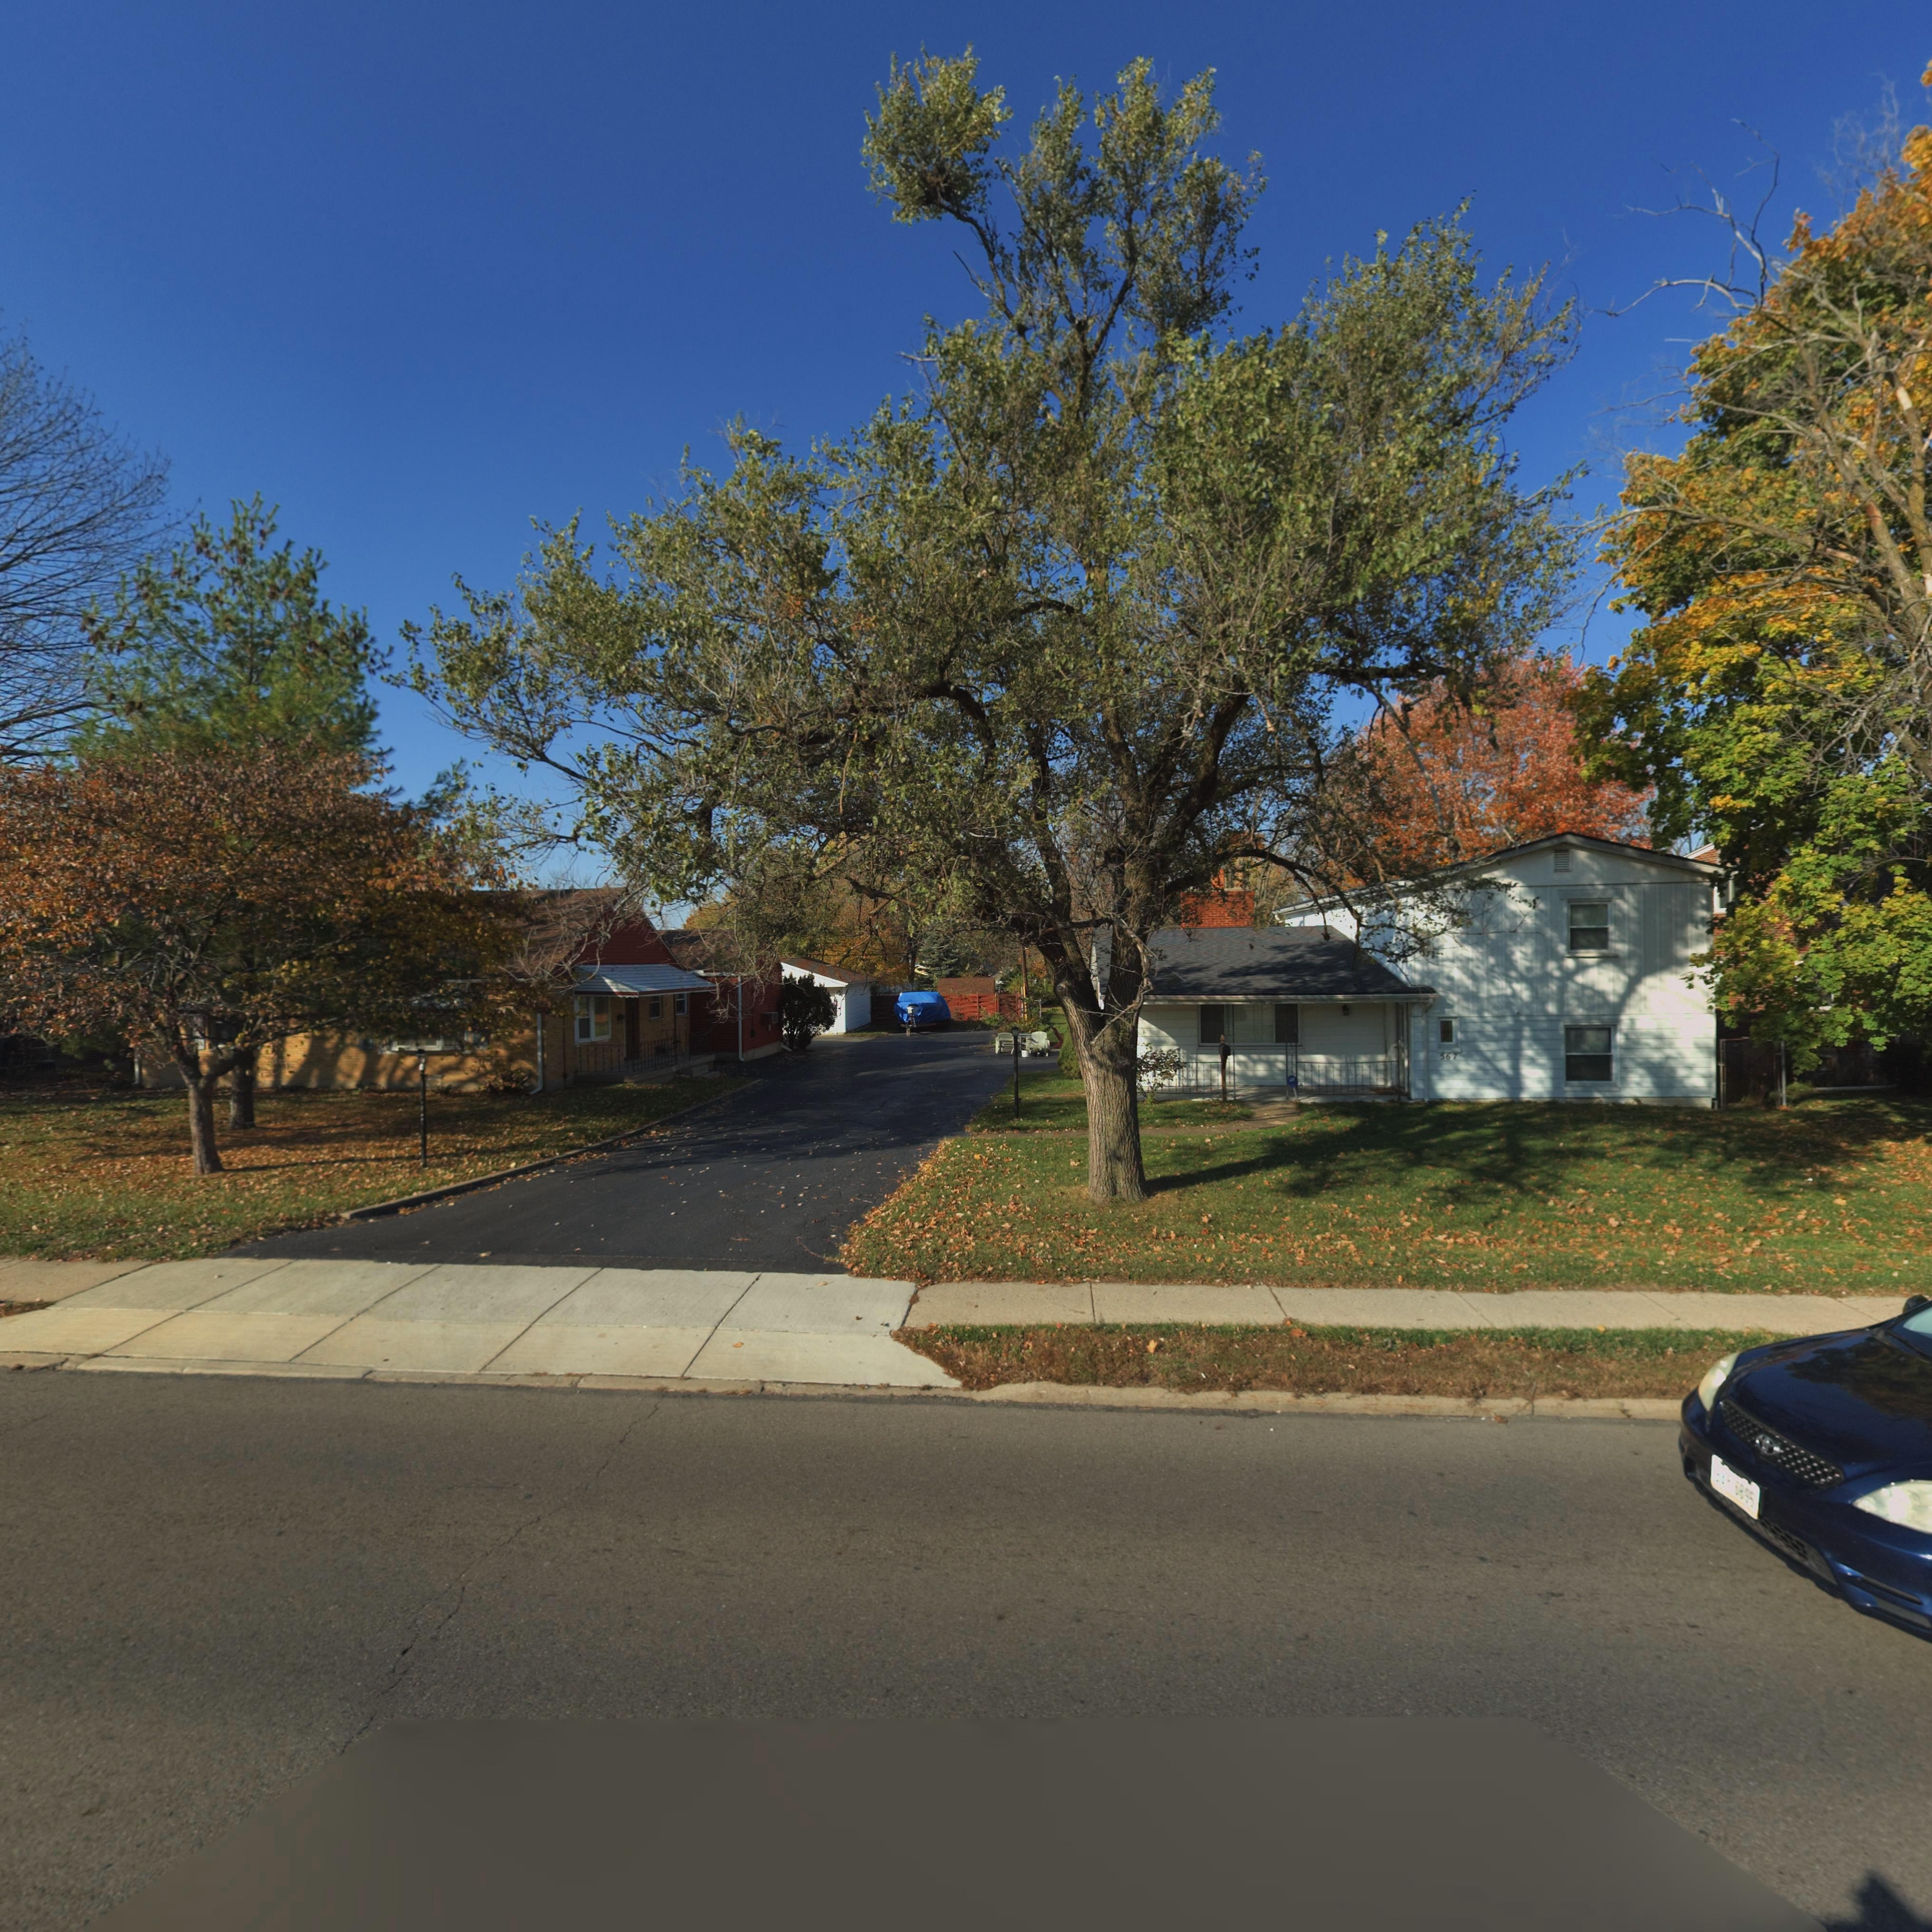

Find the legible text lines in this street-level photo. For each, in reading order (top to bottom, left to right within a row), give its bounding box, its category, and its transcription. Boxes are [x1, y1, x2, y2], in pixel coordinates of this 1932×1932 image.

[1439, 1053, 1459, 1060] StreetNumber: 567